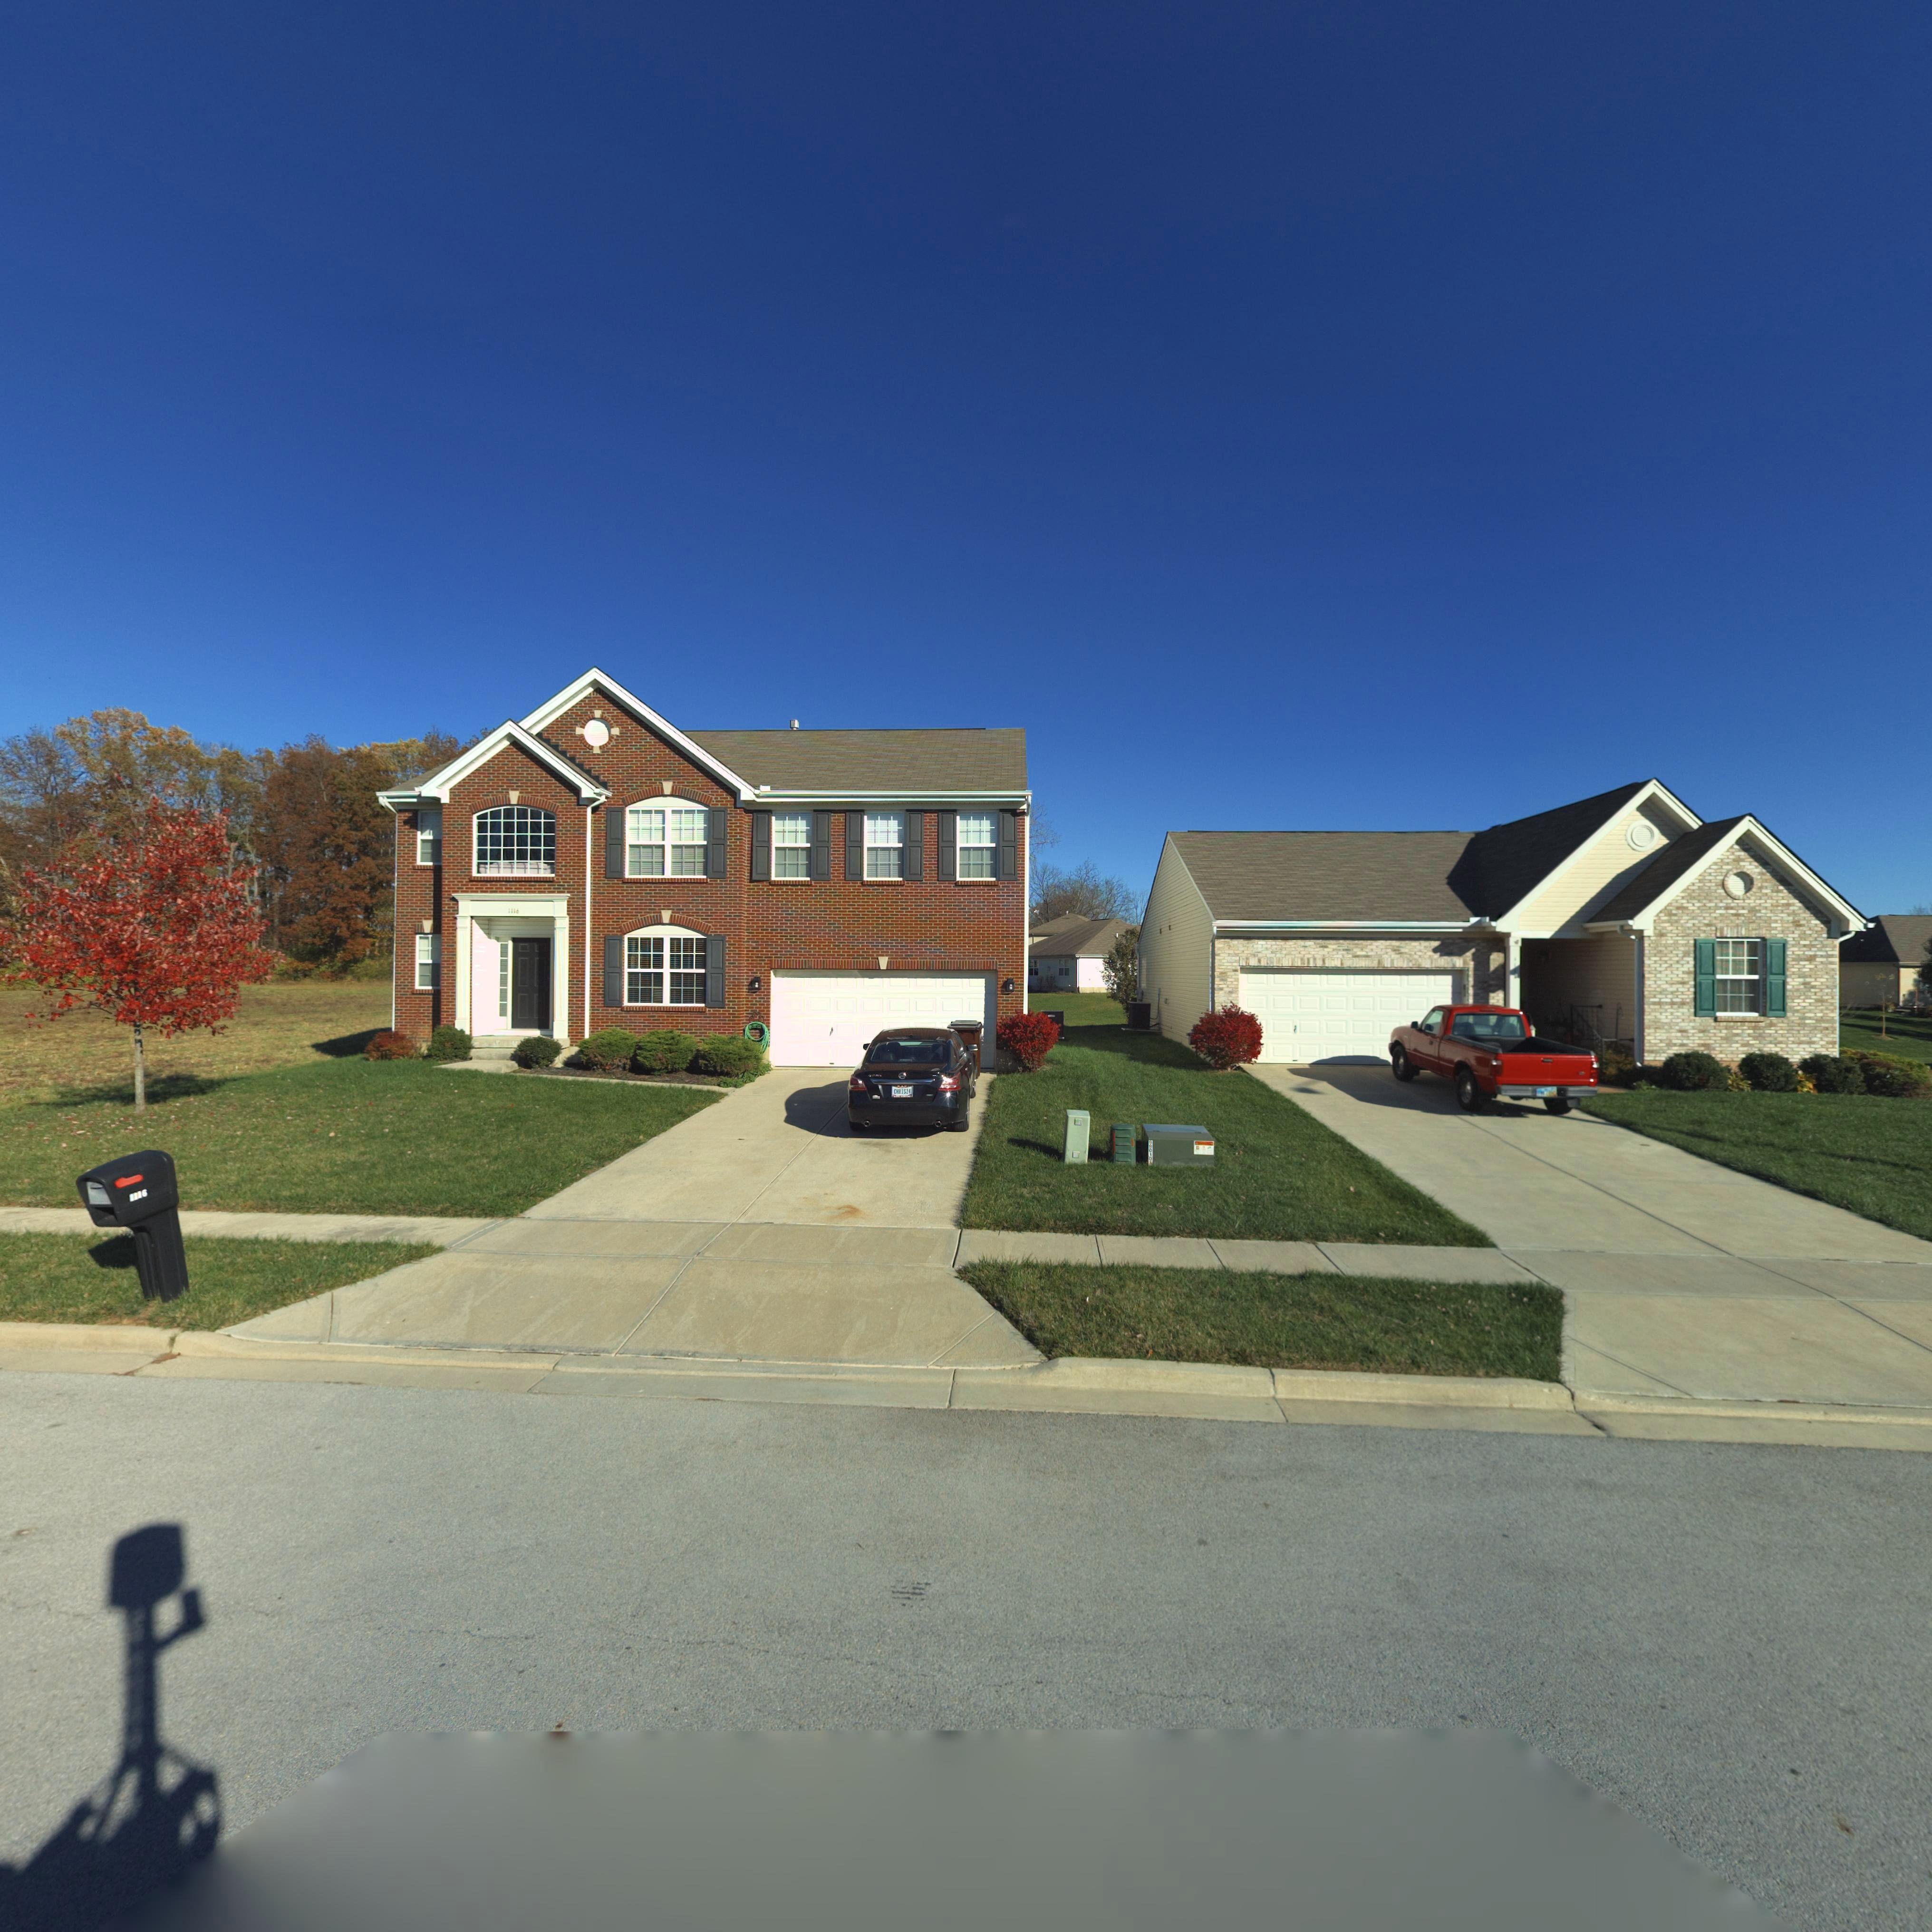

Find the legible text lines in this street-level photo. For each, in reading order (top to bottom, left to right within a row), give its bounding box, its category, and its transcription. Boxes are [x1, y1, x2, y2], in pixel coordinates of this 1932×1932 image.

[507, 908, 521, 914] StreetNumber: 1116
[128, 1188, 148, 1203] StreetNumber: 1116